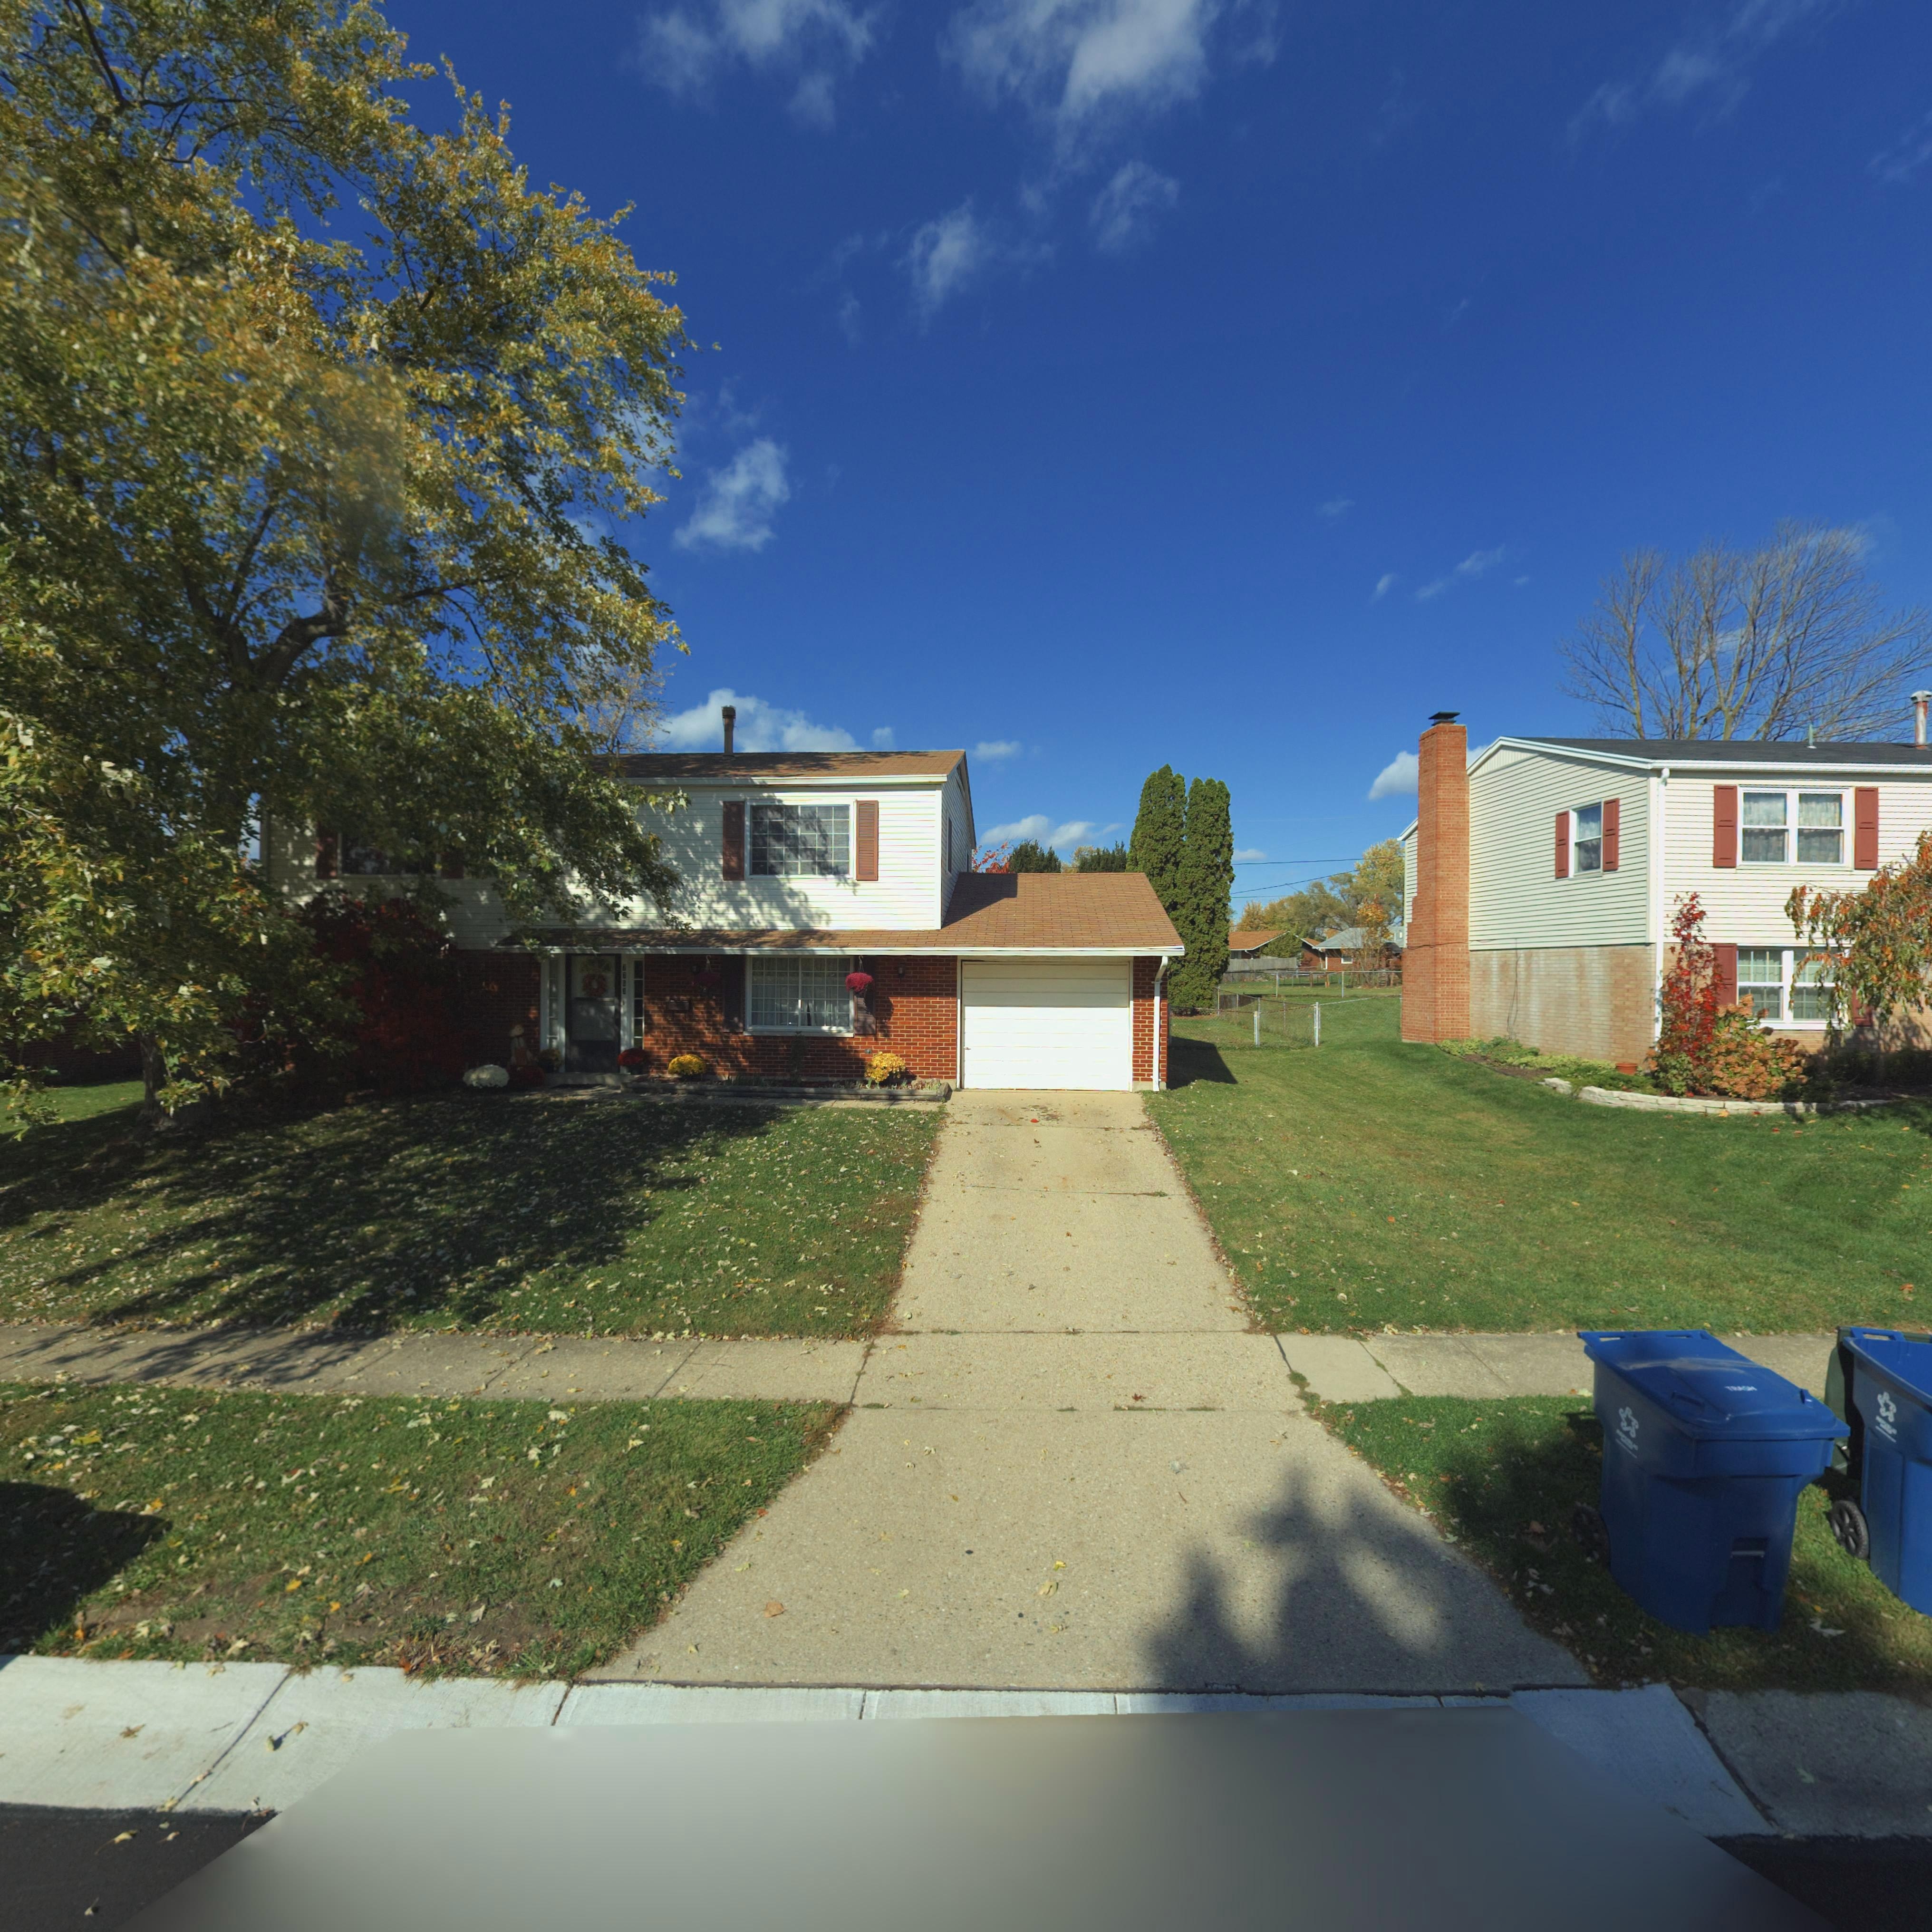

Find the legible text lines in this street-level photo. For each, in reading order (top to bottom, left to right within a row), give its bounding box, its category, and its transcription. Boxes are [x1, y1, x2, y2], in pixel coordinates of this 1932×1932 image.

[622, 964, 626, 994] StreetNumber: 7763